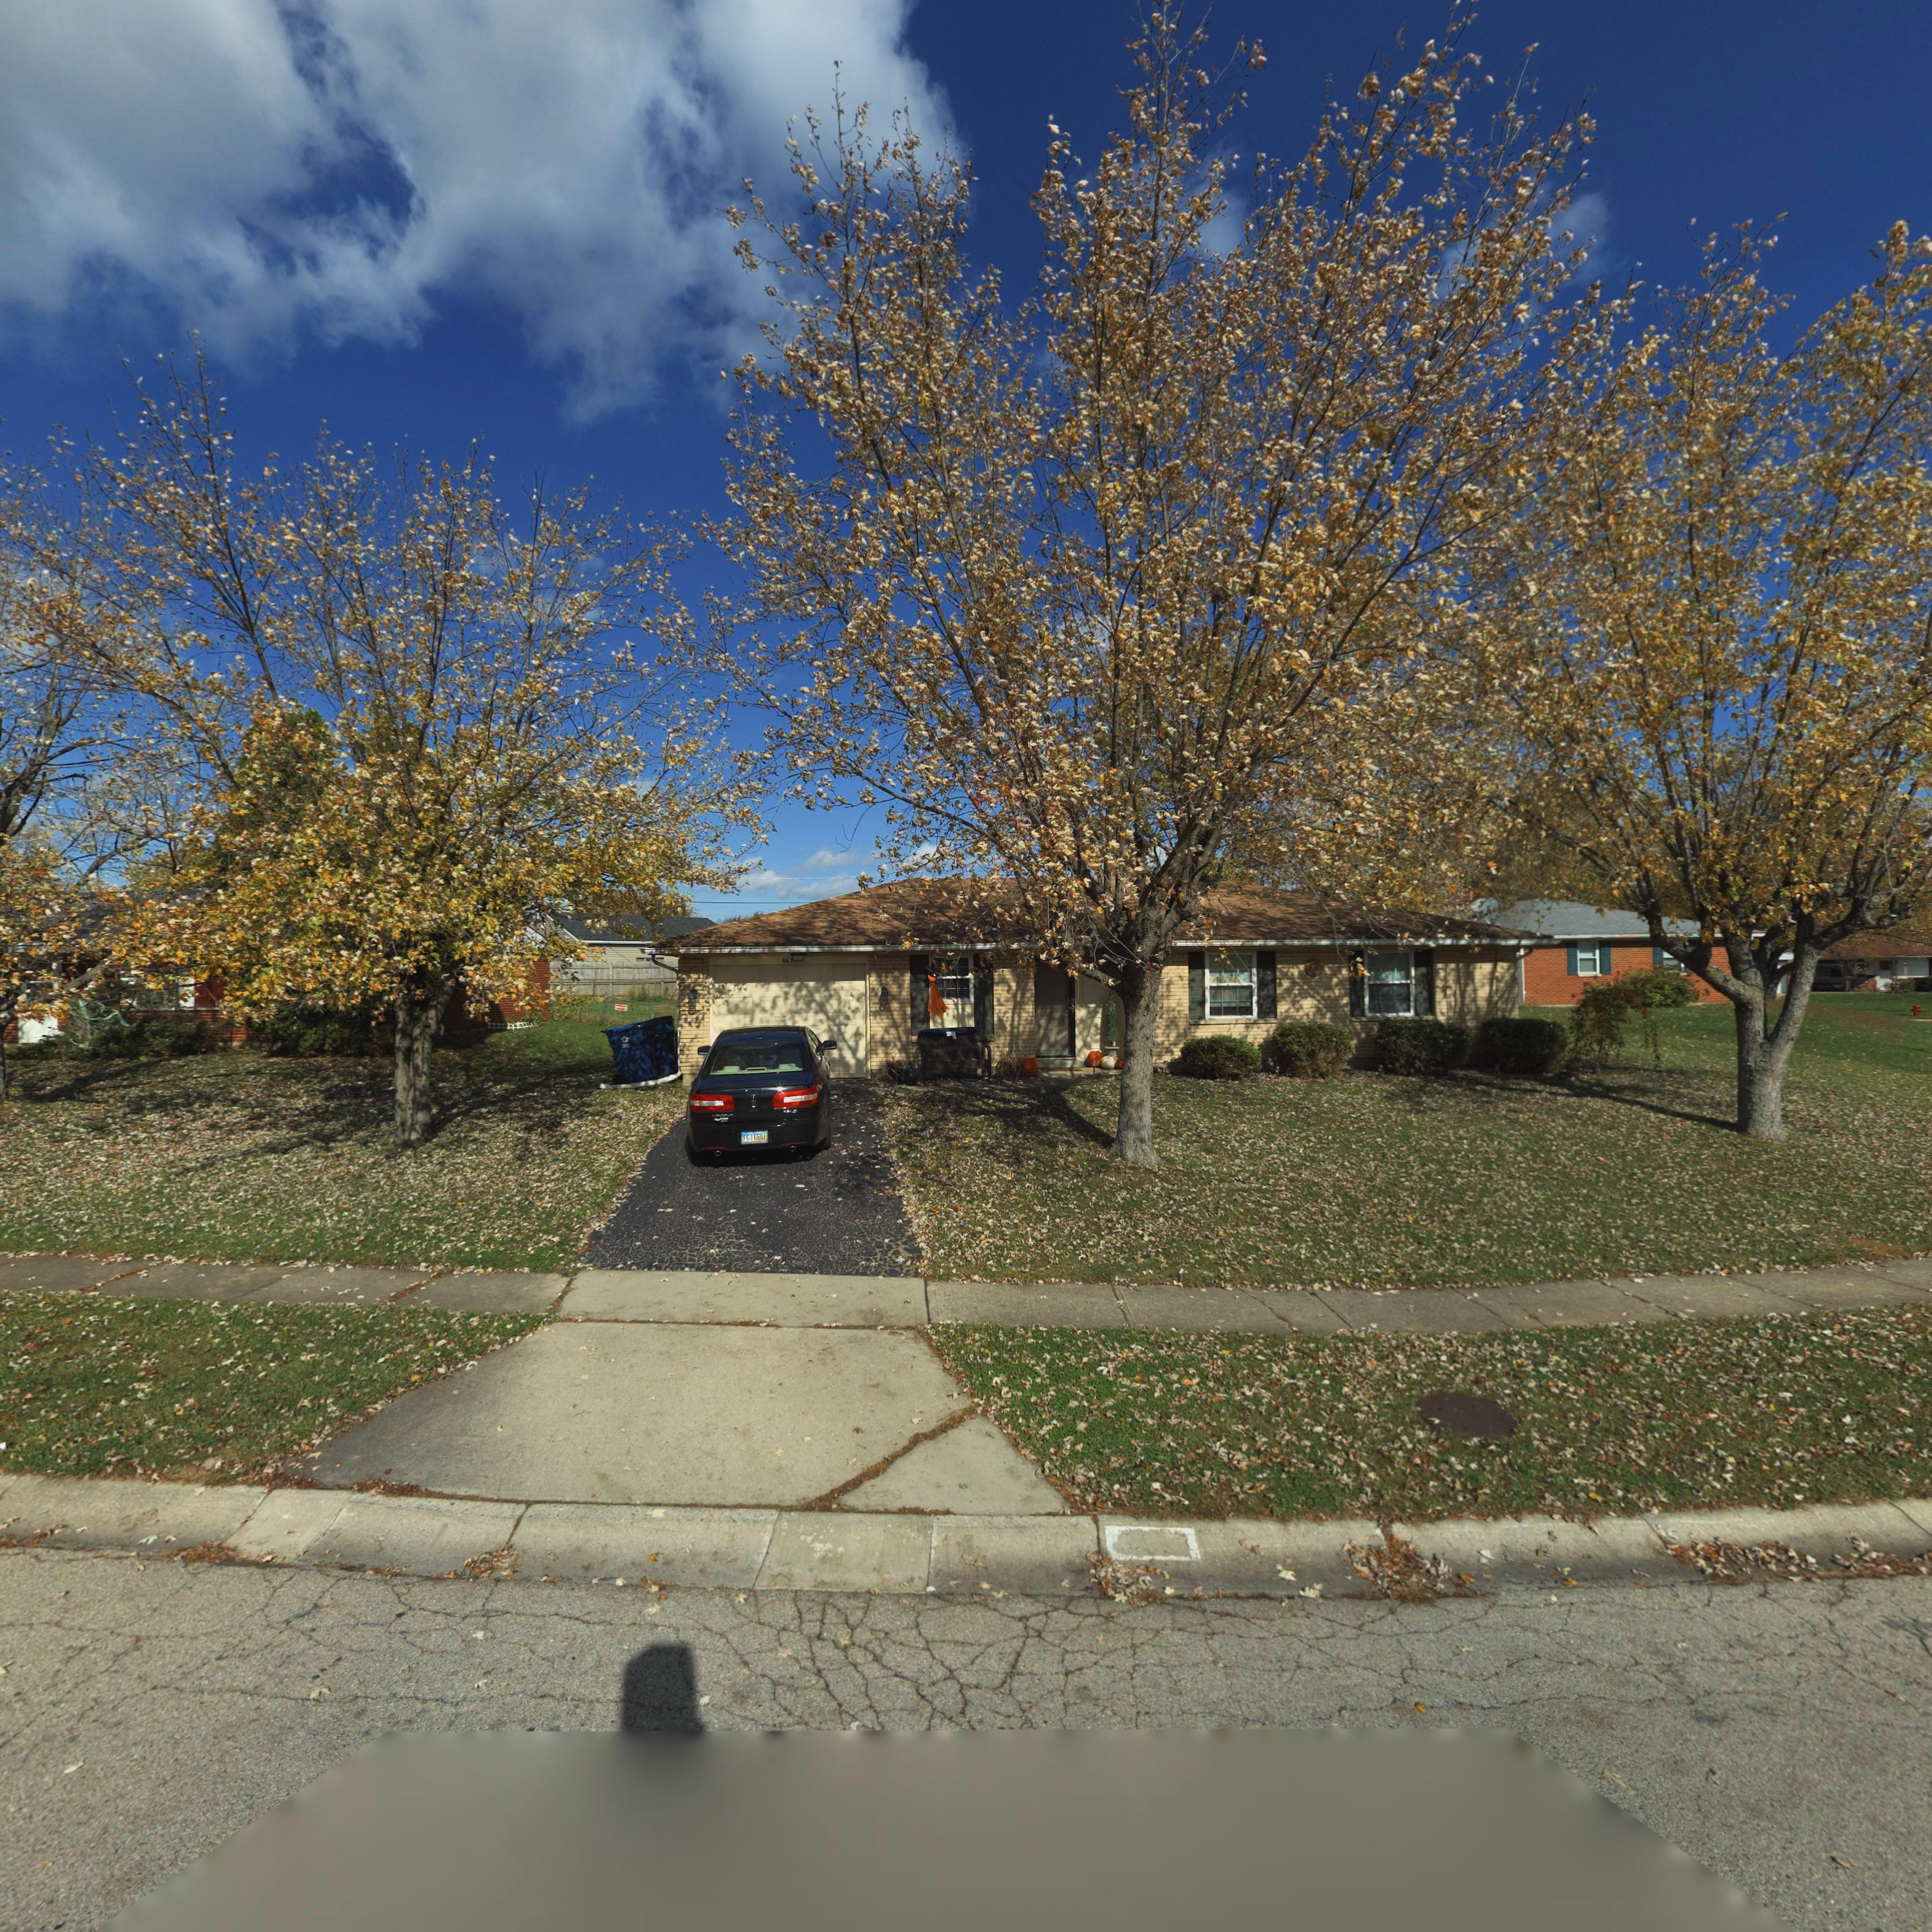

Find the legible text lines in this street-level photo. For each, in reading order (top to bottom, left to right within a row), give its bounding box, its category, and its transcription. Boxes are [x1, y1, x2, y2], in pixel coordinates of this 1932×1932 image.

[782, 957, 797, 963] StreetNumber: 663*